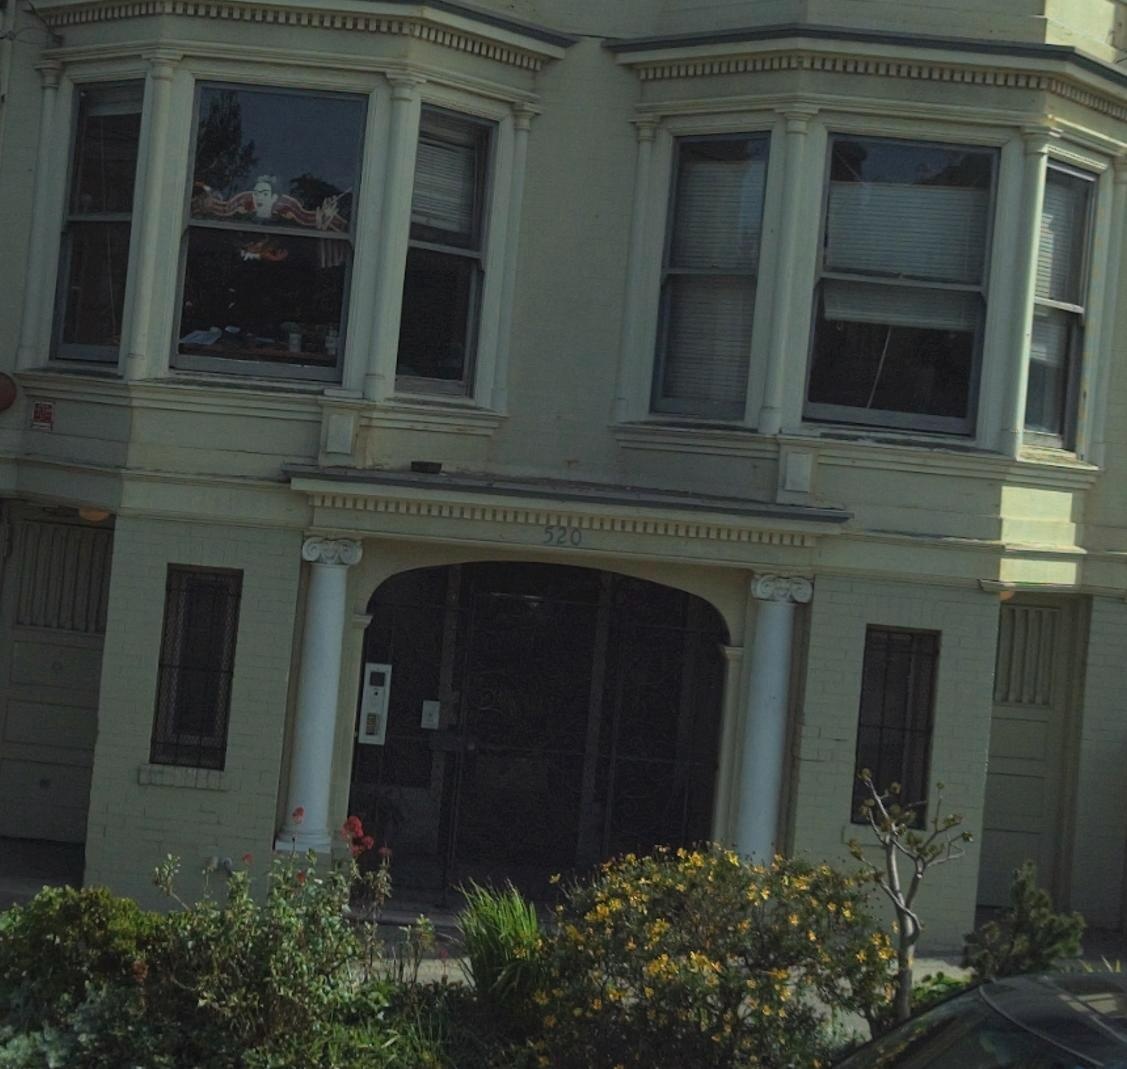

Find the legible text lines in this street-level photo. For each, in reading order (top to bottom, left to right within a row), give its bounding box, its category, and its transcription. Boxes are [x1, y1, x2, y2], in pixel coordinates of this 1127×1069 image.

[538, 523, 585, 548] StreetNumber: 520